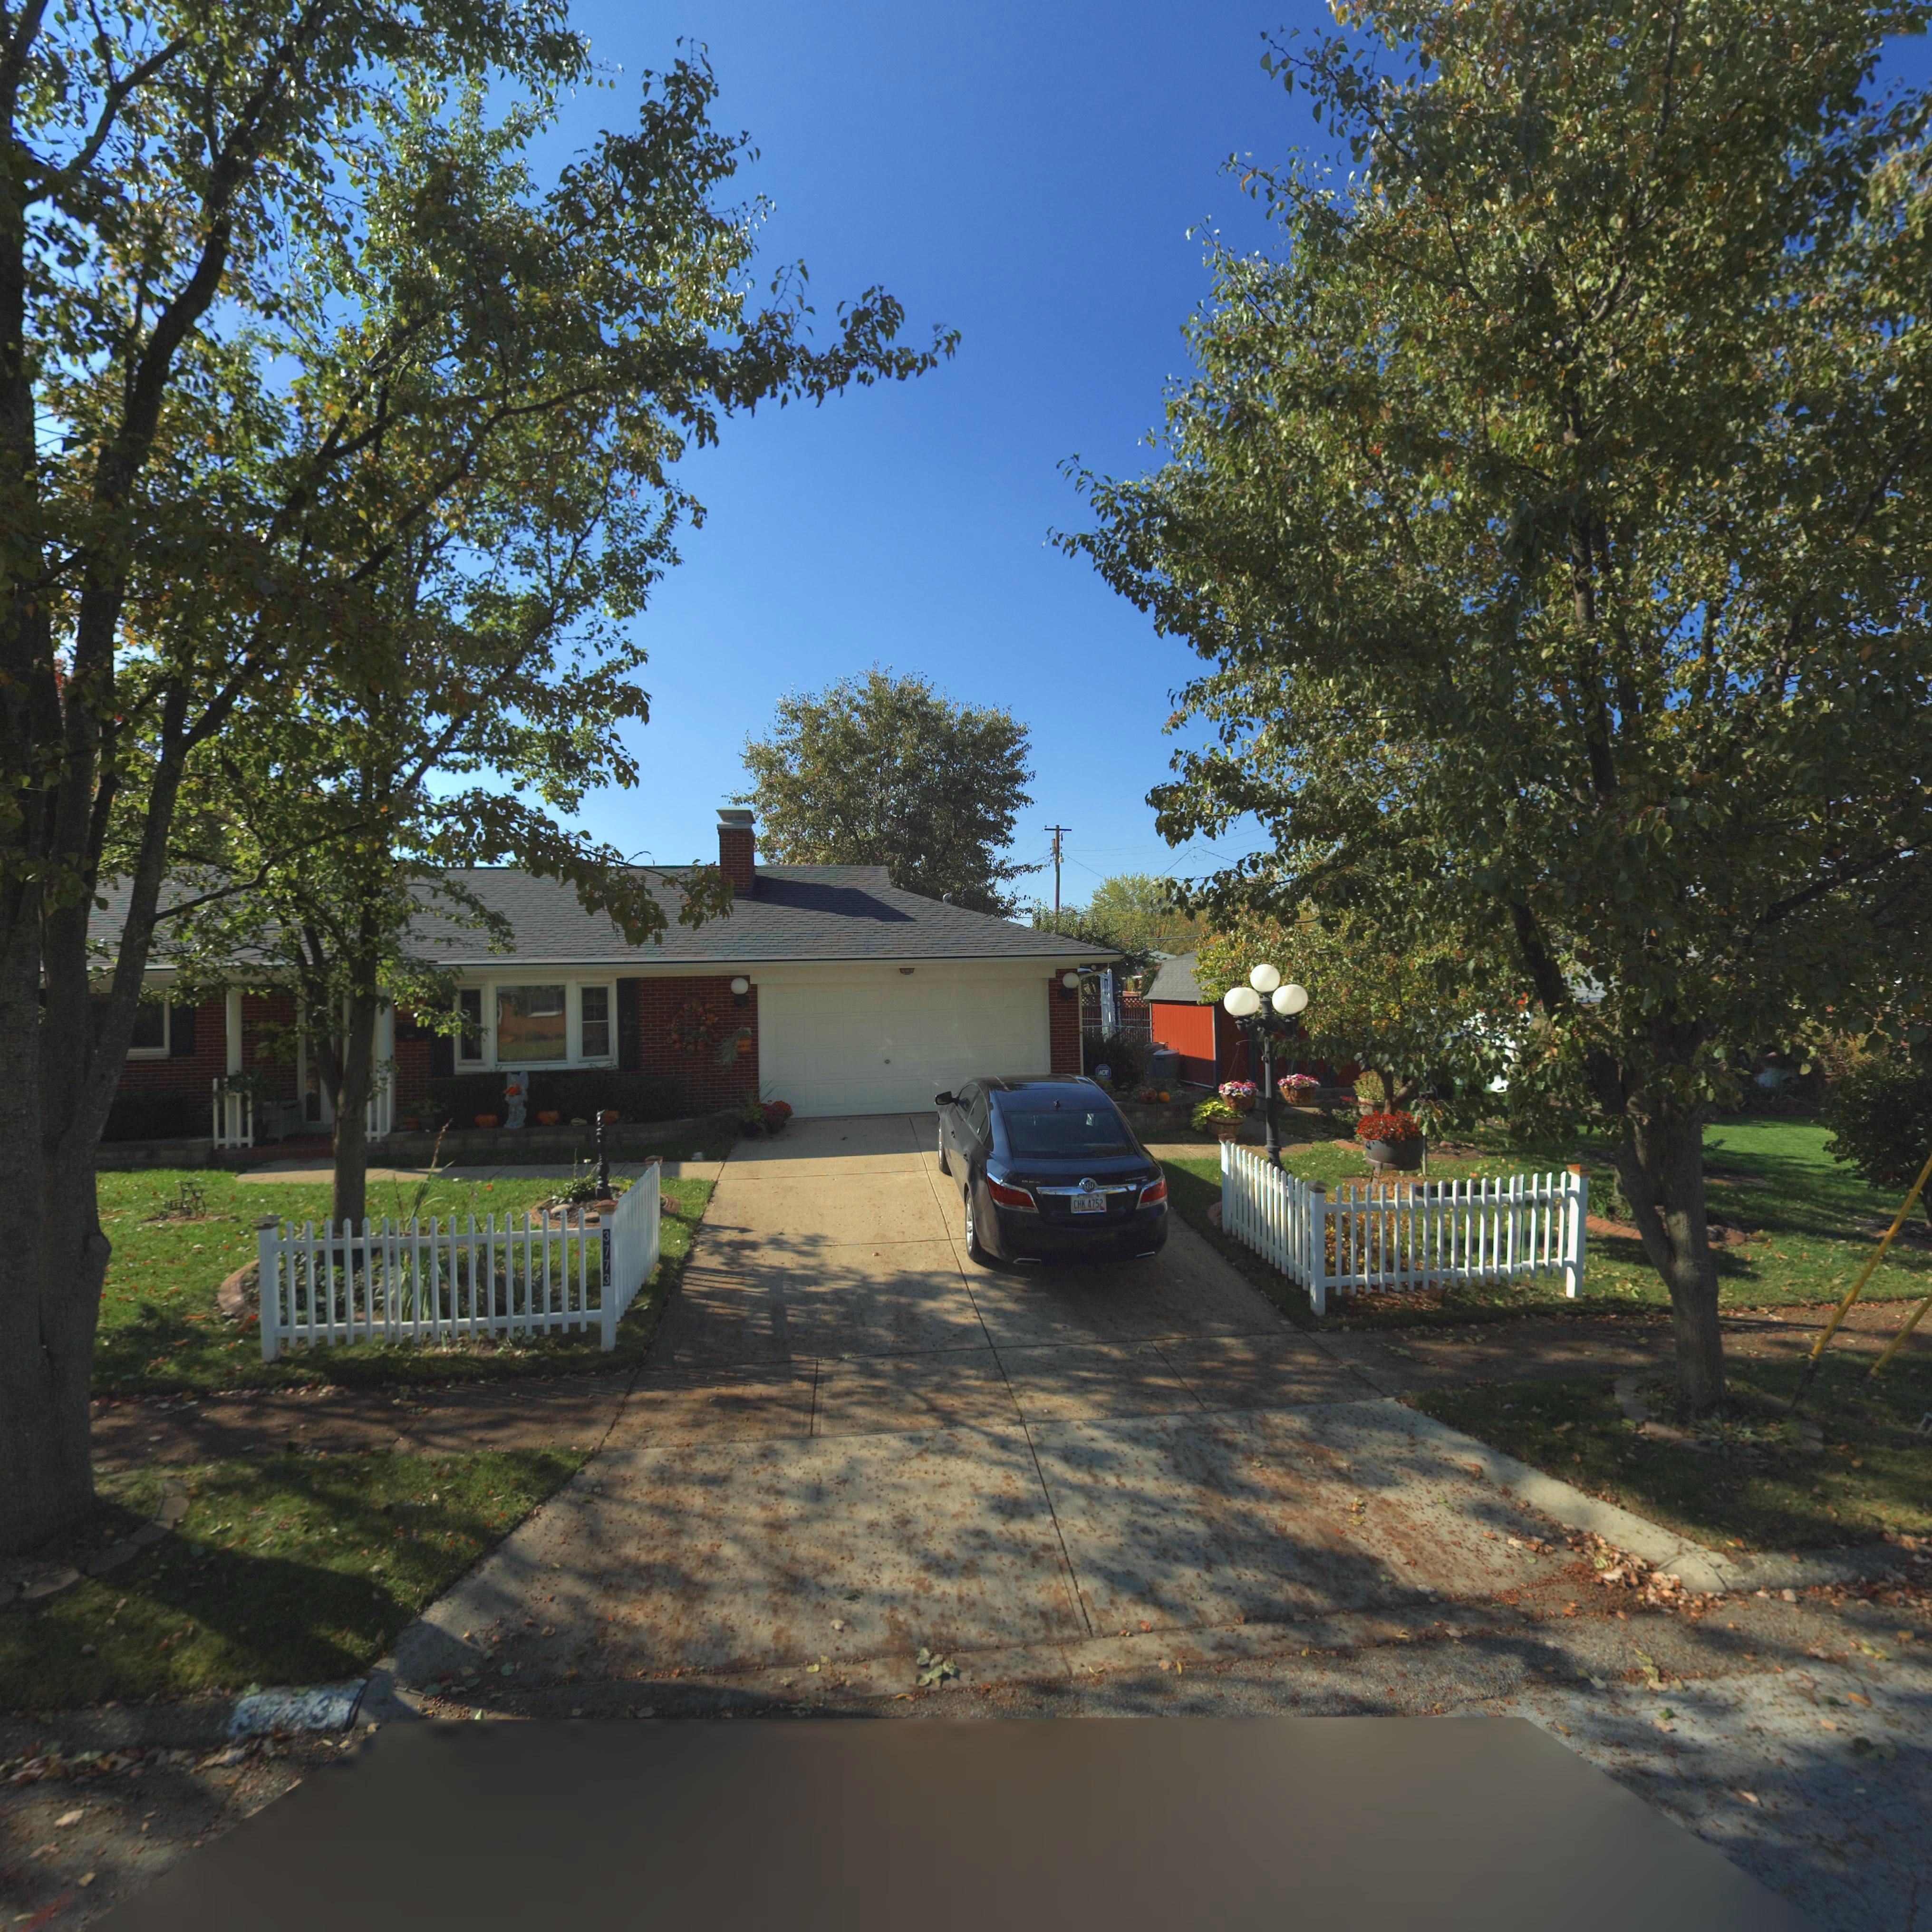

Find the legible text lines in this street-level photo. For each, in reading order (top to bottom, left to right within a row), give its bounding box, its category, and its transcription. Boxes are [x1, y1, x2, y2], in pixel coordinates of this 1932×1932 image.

[1097, 1070, 1109, 1075] None: ADT
[1073, 1198, 1103, 1209] None: CHK 4752
[233, 1694, 337, 1732] StreetNumber: 3773